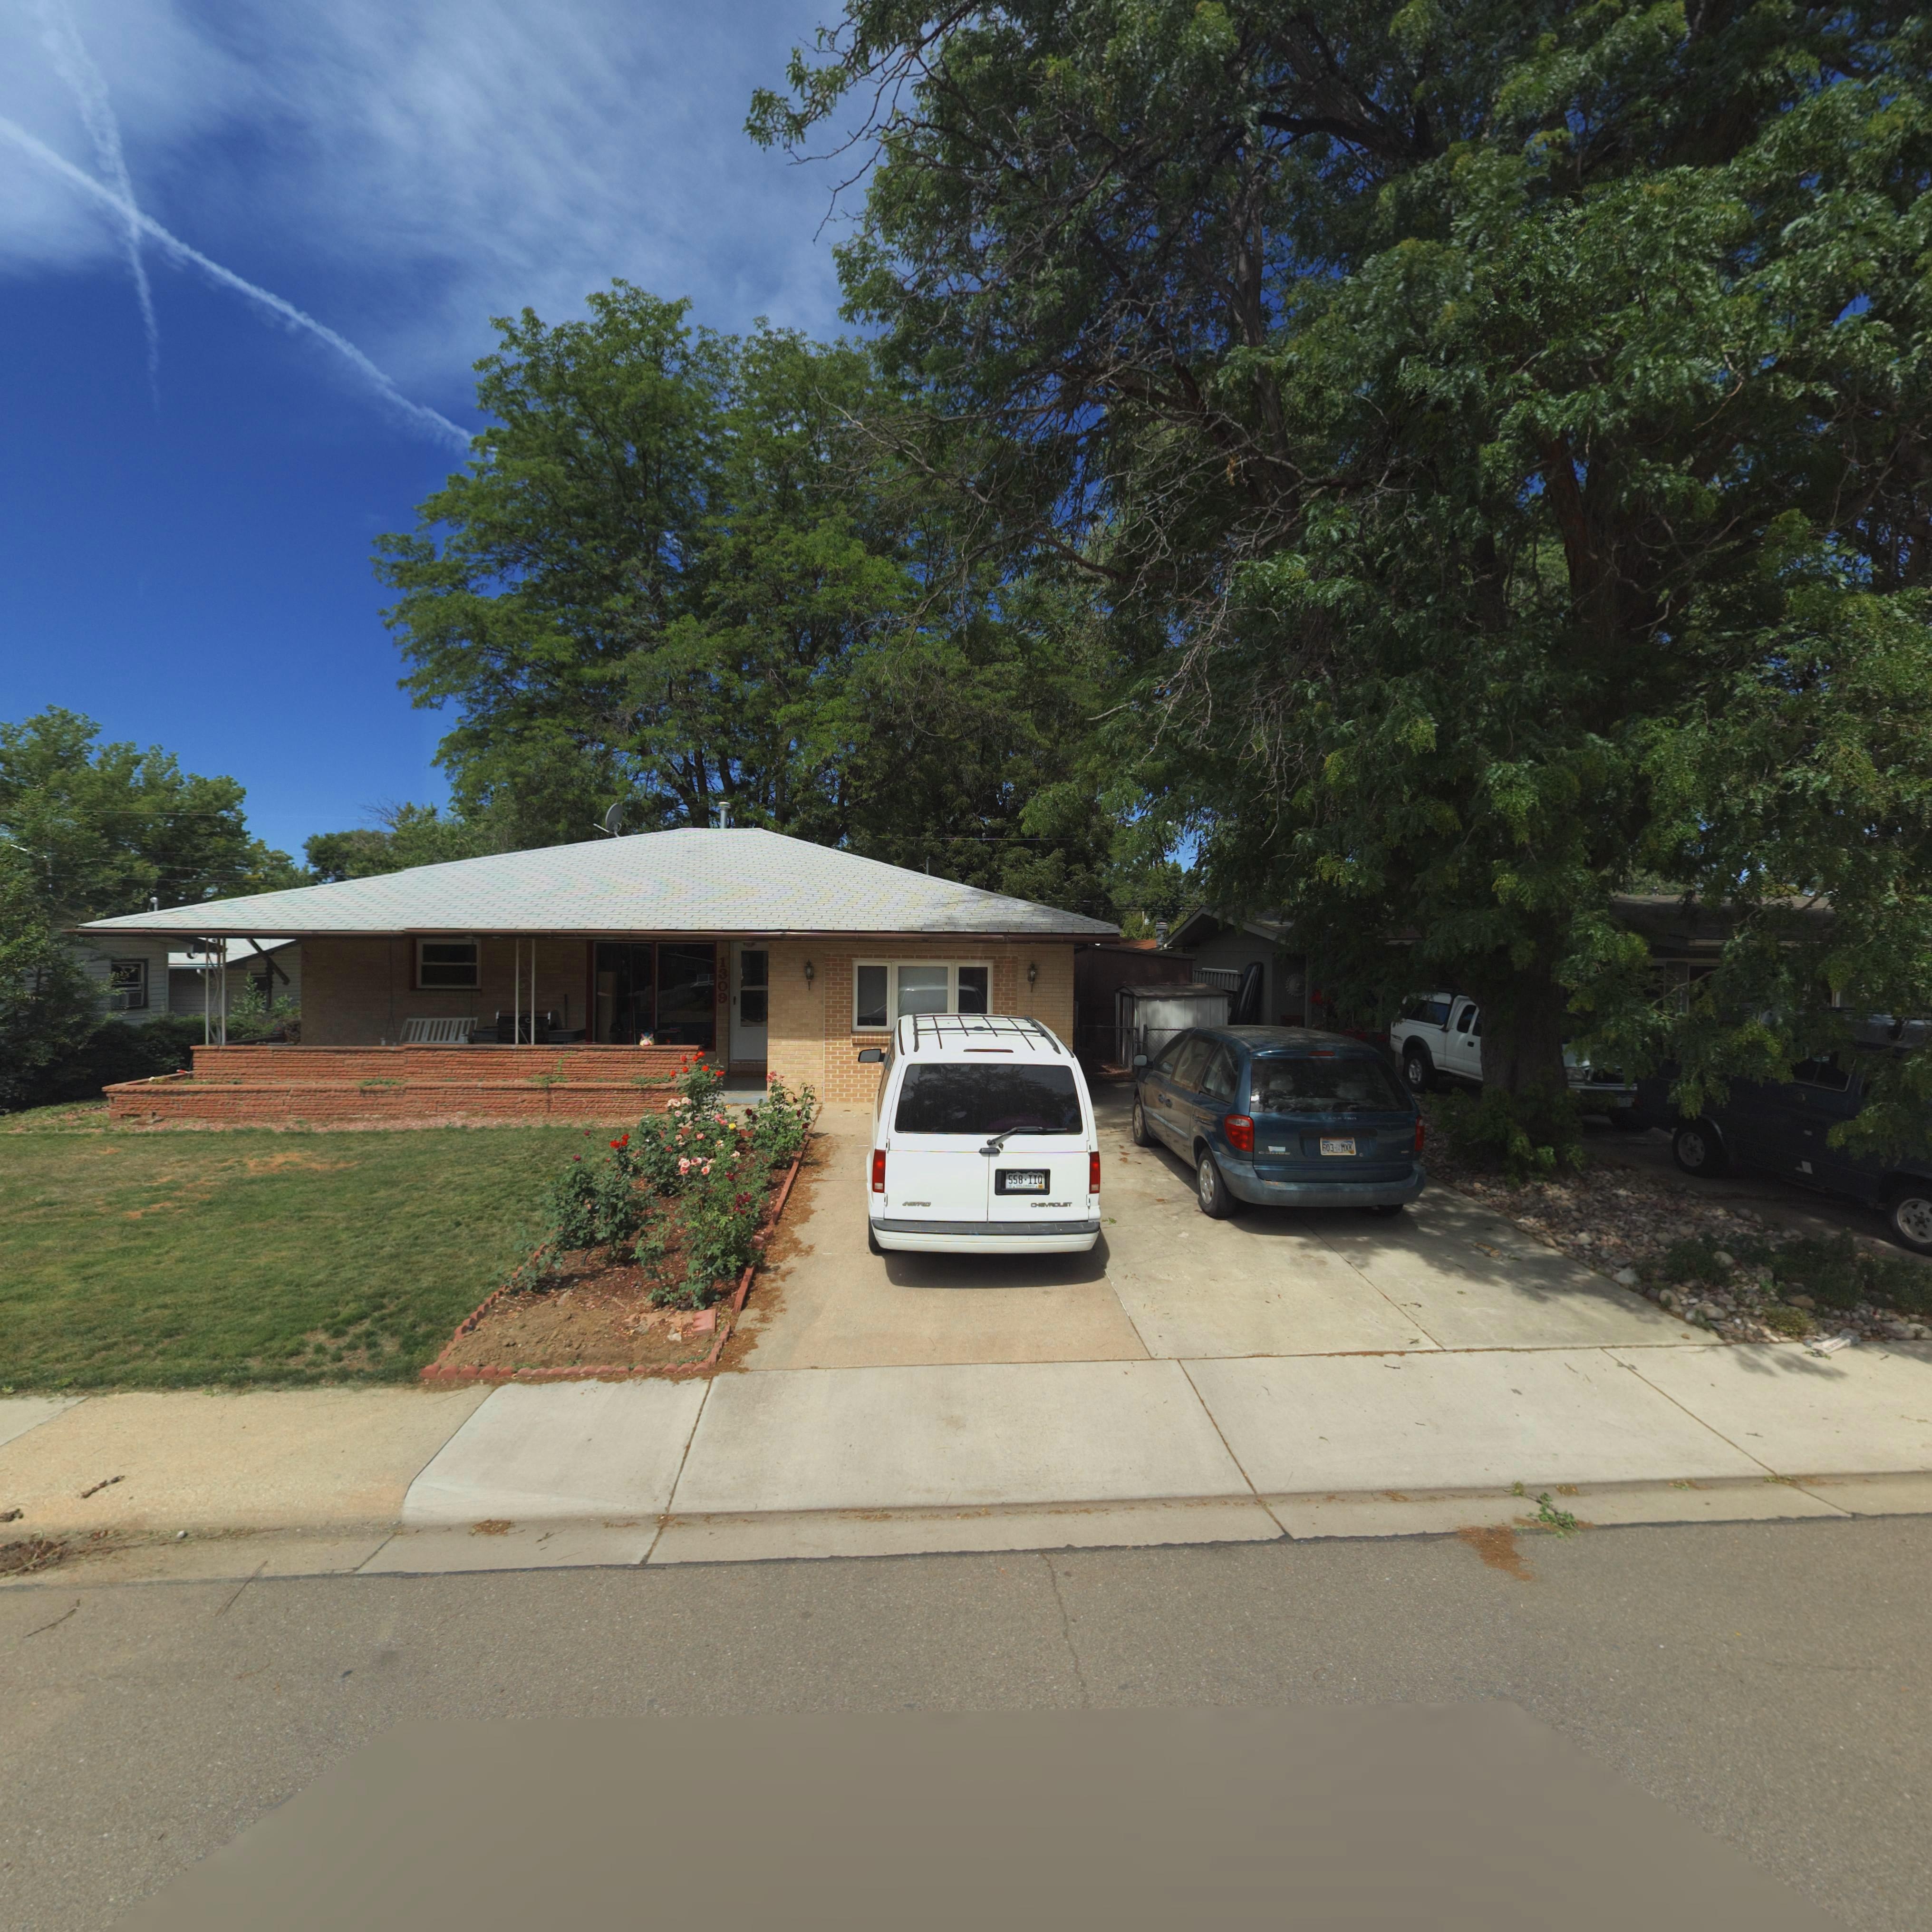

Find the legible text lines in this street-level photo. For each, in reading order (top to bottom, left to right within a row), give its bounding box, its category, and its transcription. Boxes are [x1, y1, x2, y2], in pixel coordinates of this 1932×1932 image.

[717, 956, 728, 1004] StreetNumber: 1309